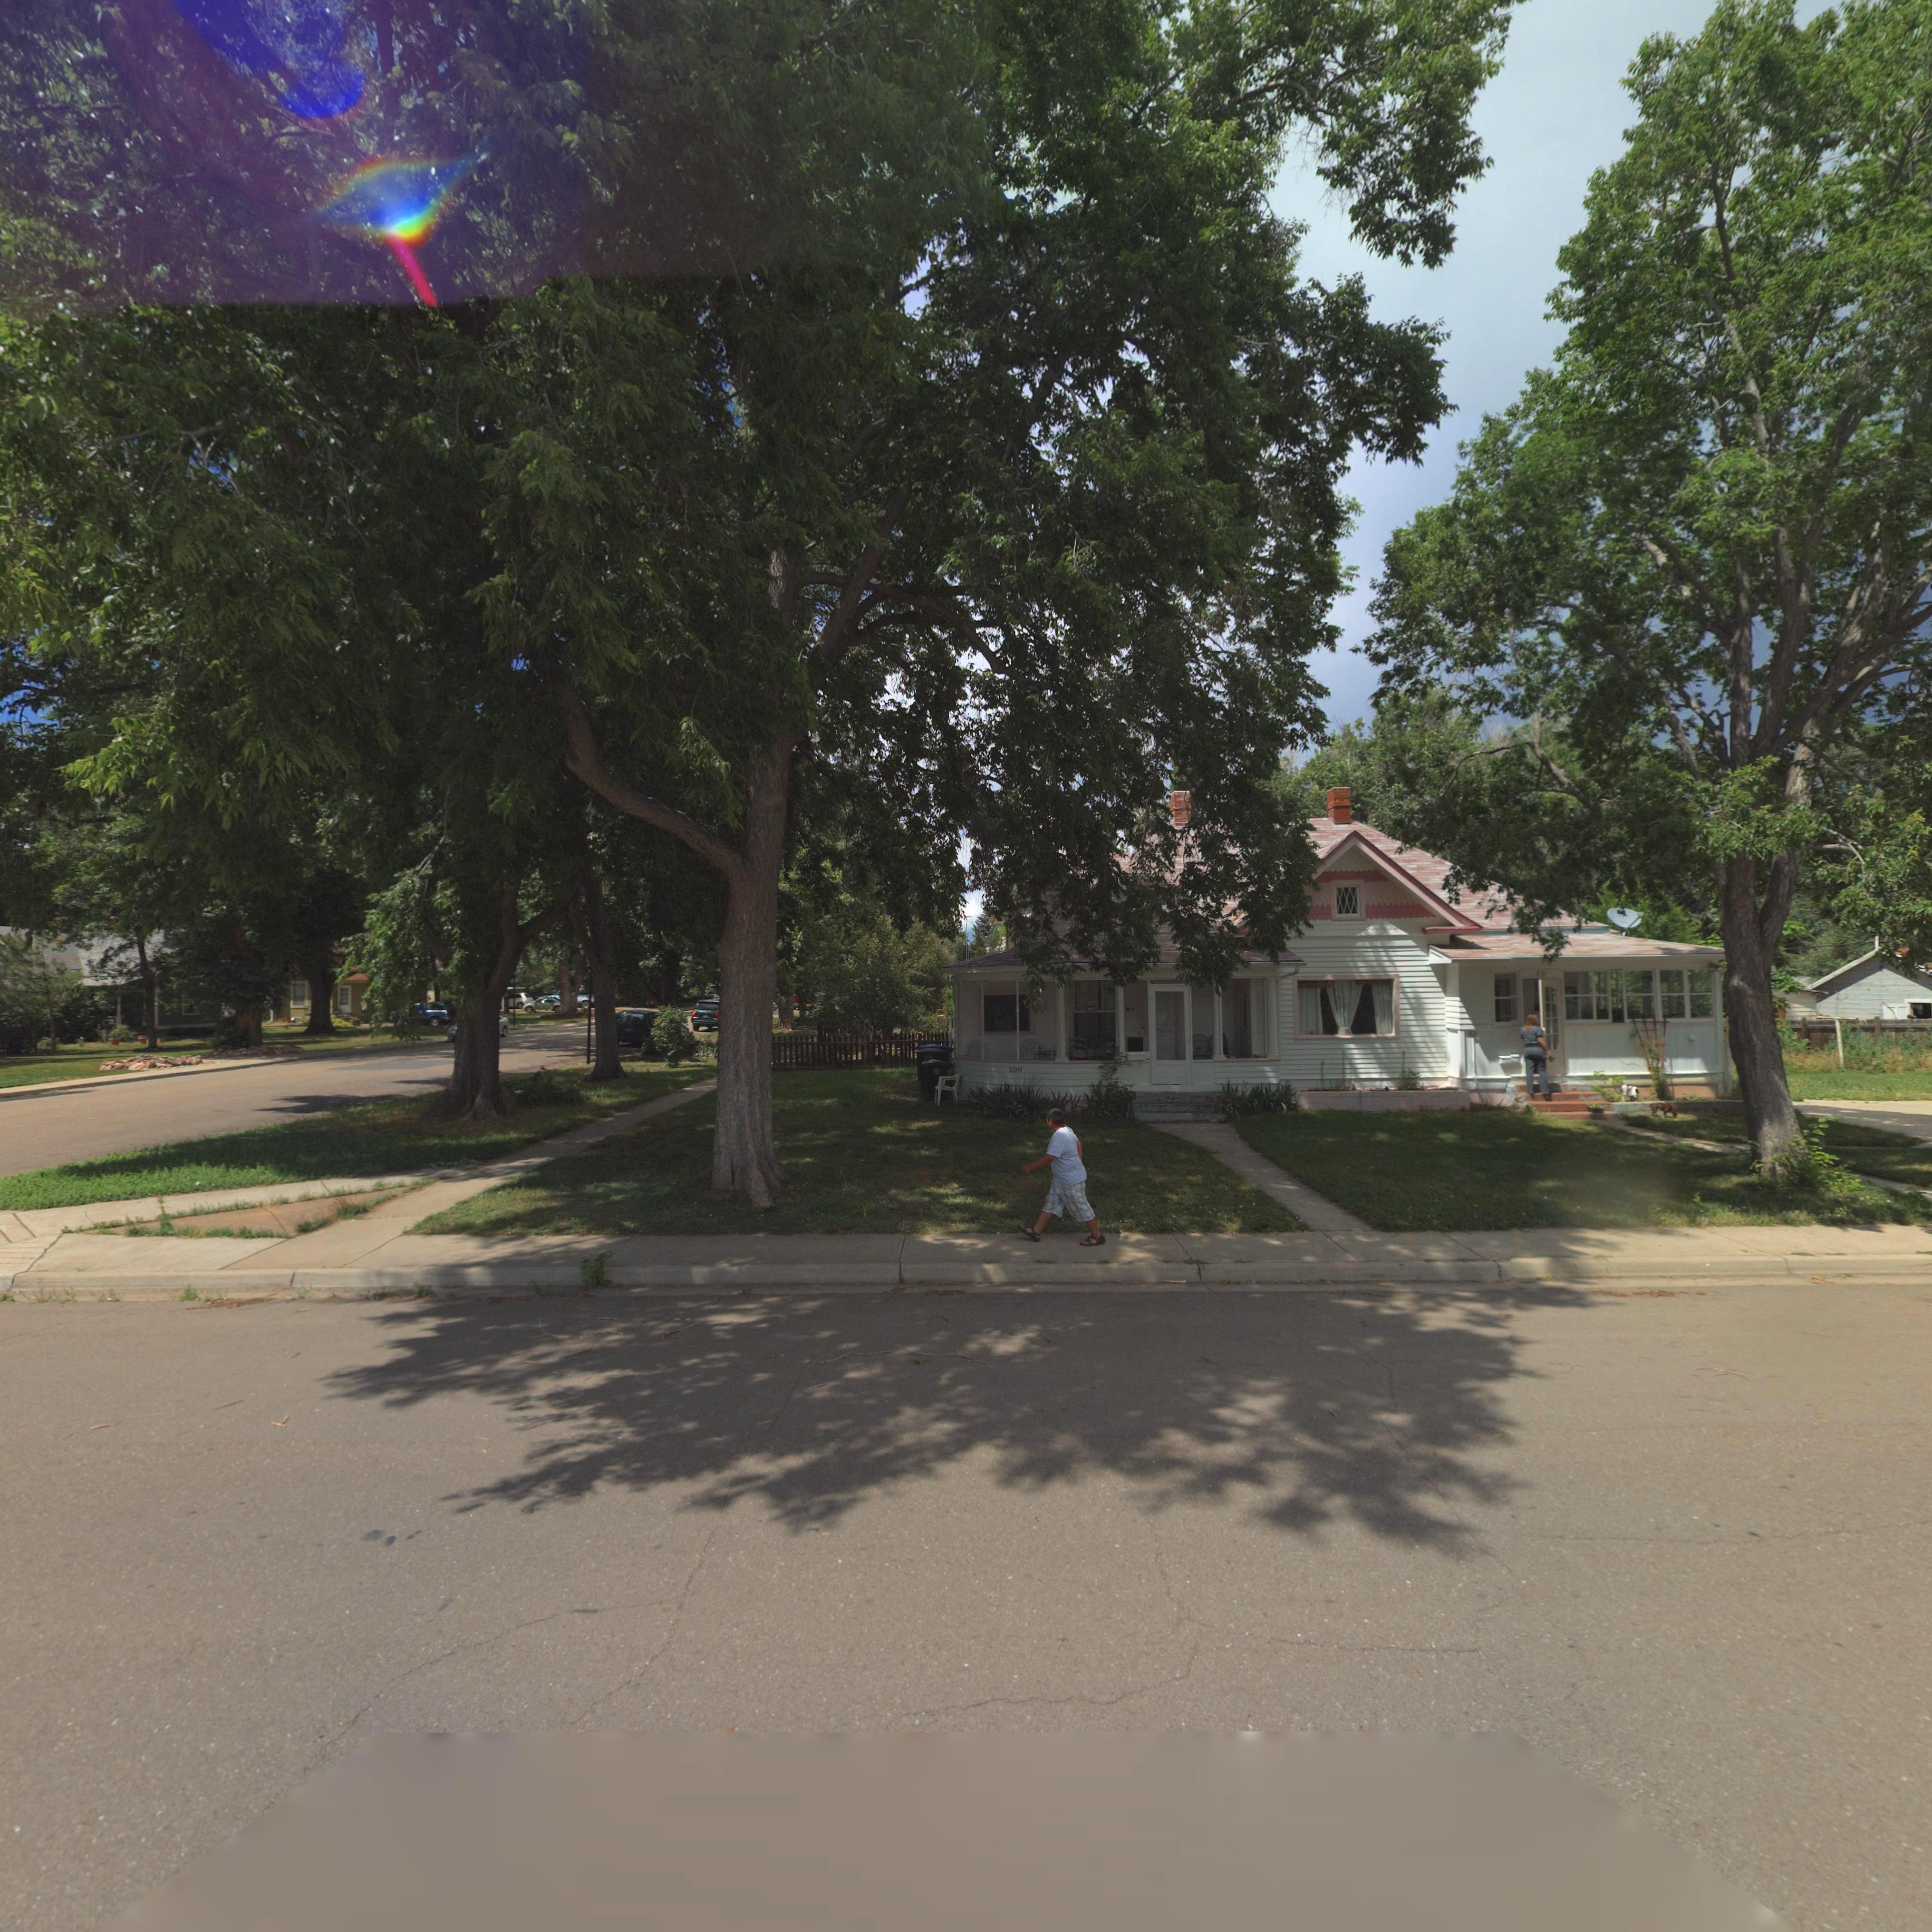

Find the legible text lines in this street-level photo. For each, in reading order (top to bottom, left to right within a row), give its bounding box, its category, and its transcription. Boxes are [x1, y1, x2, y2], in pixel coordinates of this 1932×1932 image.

[1536, 970, 1546, 976] StreetNumber: 5**
[1009, 1066, 1022, 1072] StreetNumber: 500